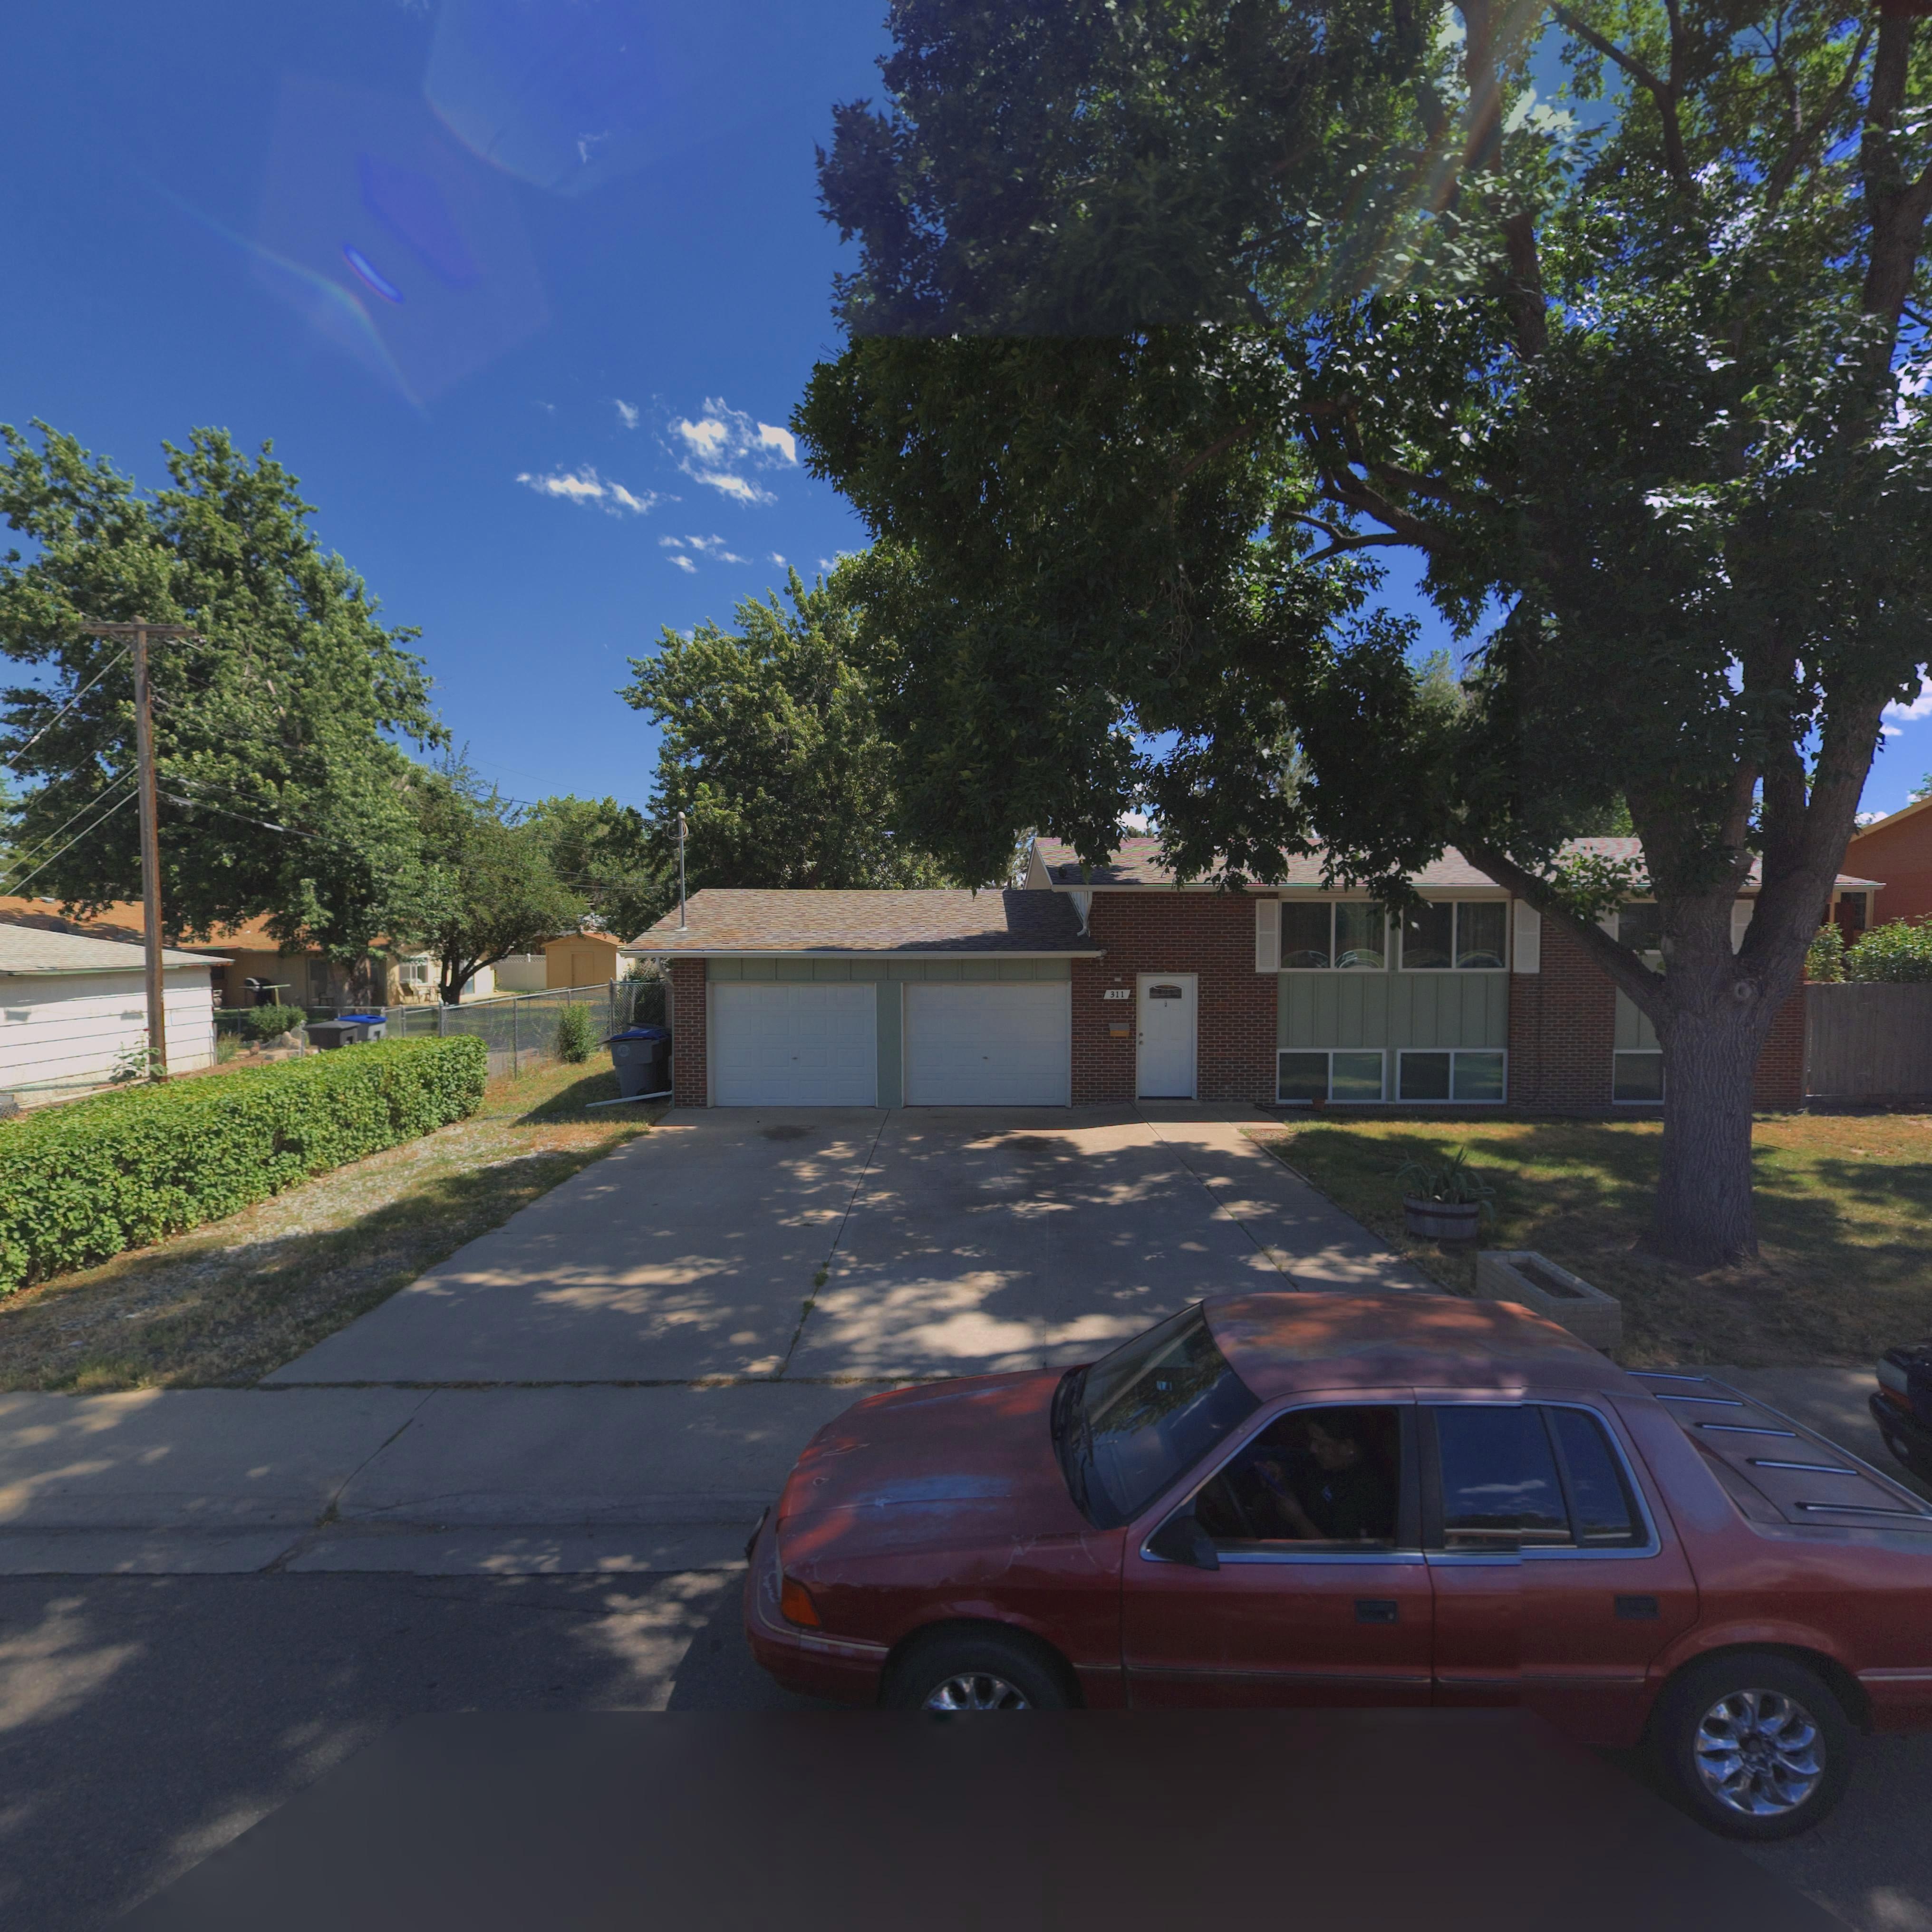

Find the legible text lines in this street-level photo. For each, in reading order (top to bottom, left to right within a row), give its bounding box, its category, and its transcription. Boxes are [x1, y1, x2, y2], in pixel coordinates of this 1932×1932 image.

[1110, 991, 1123, 998] StreetNumber: 311